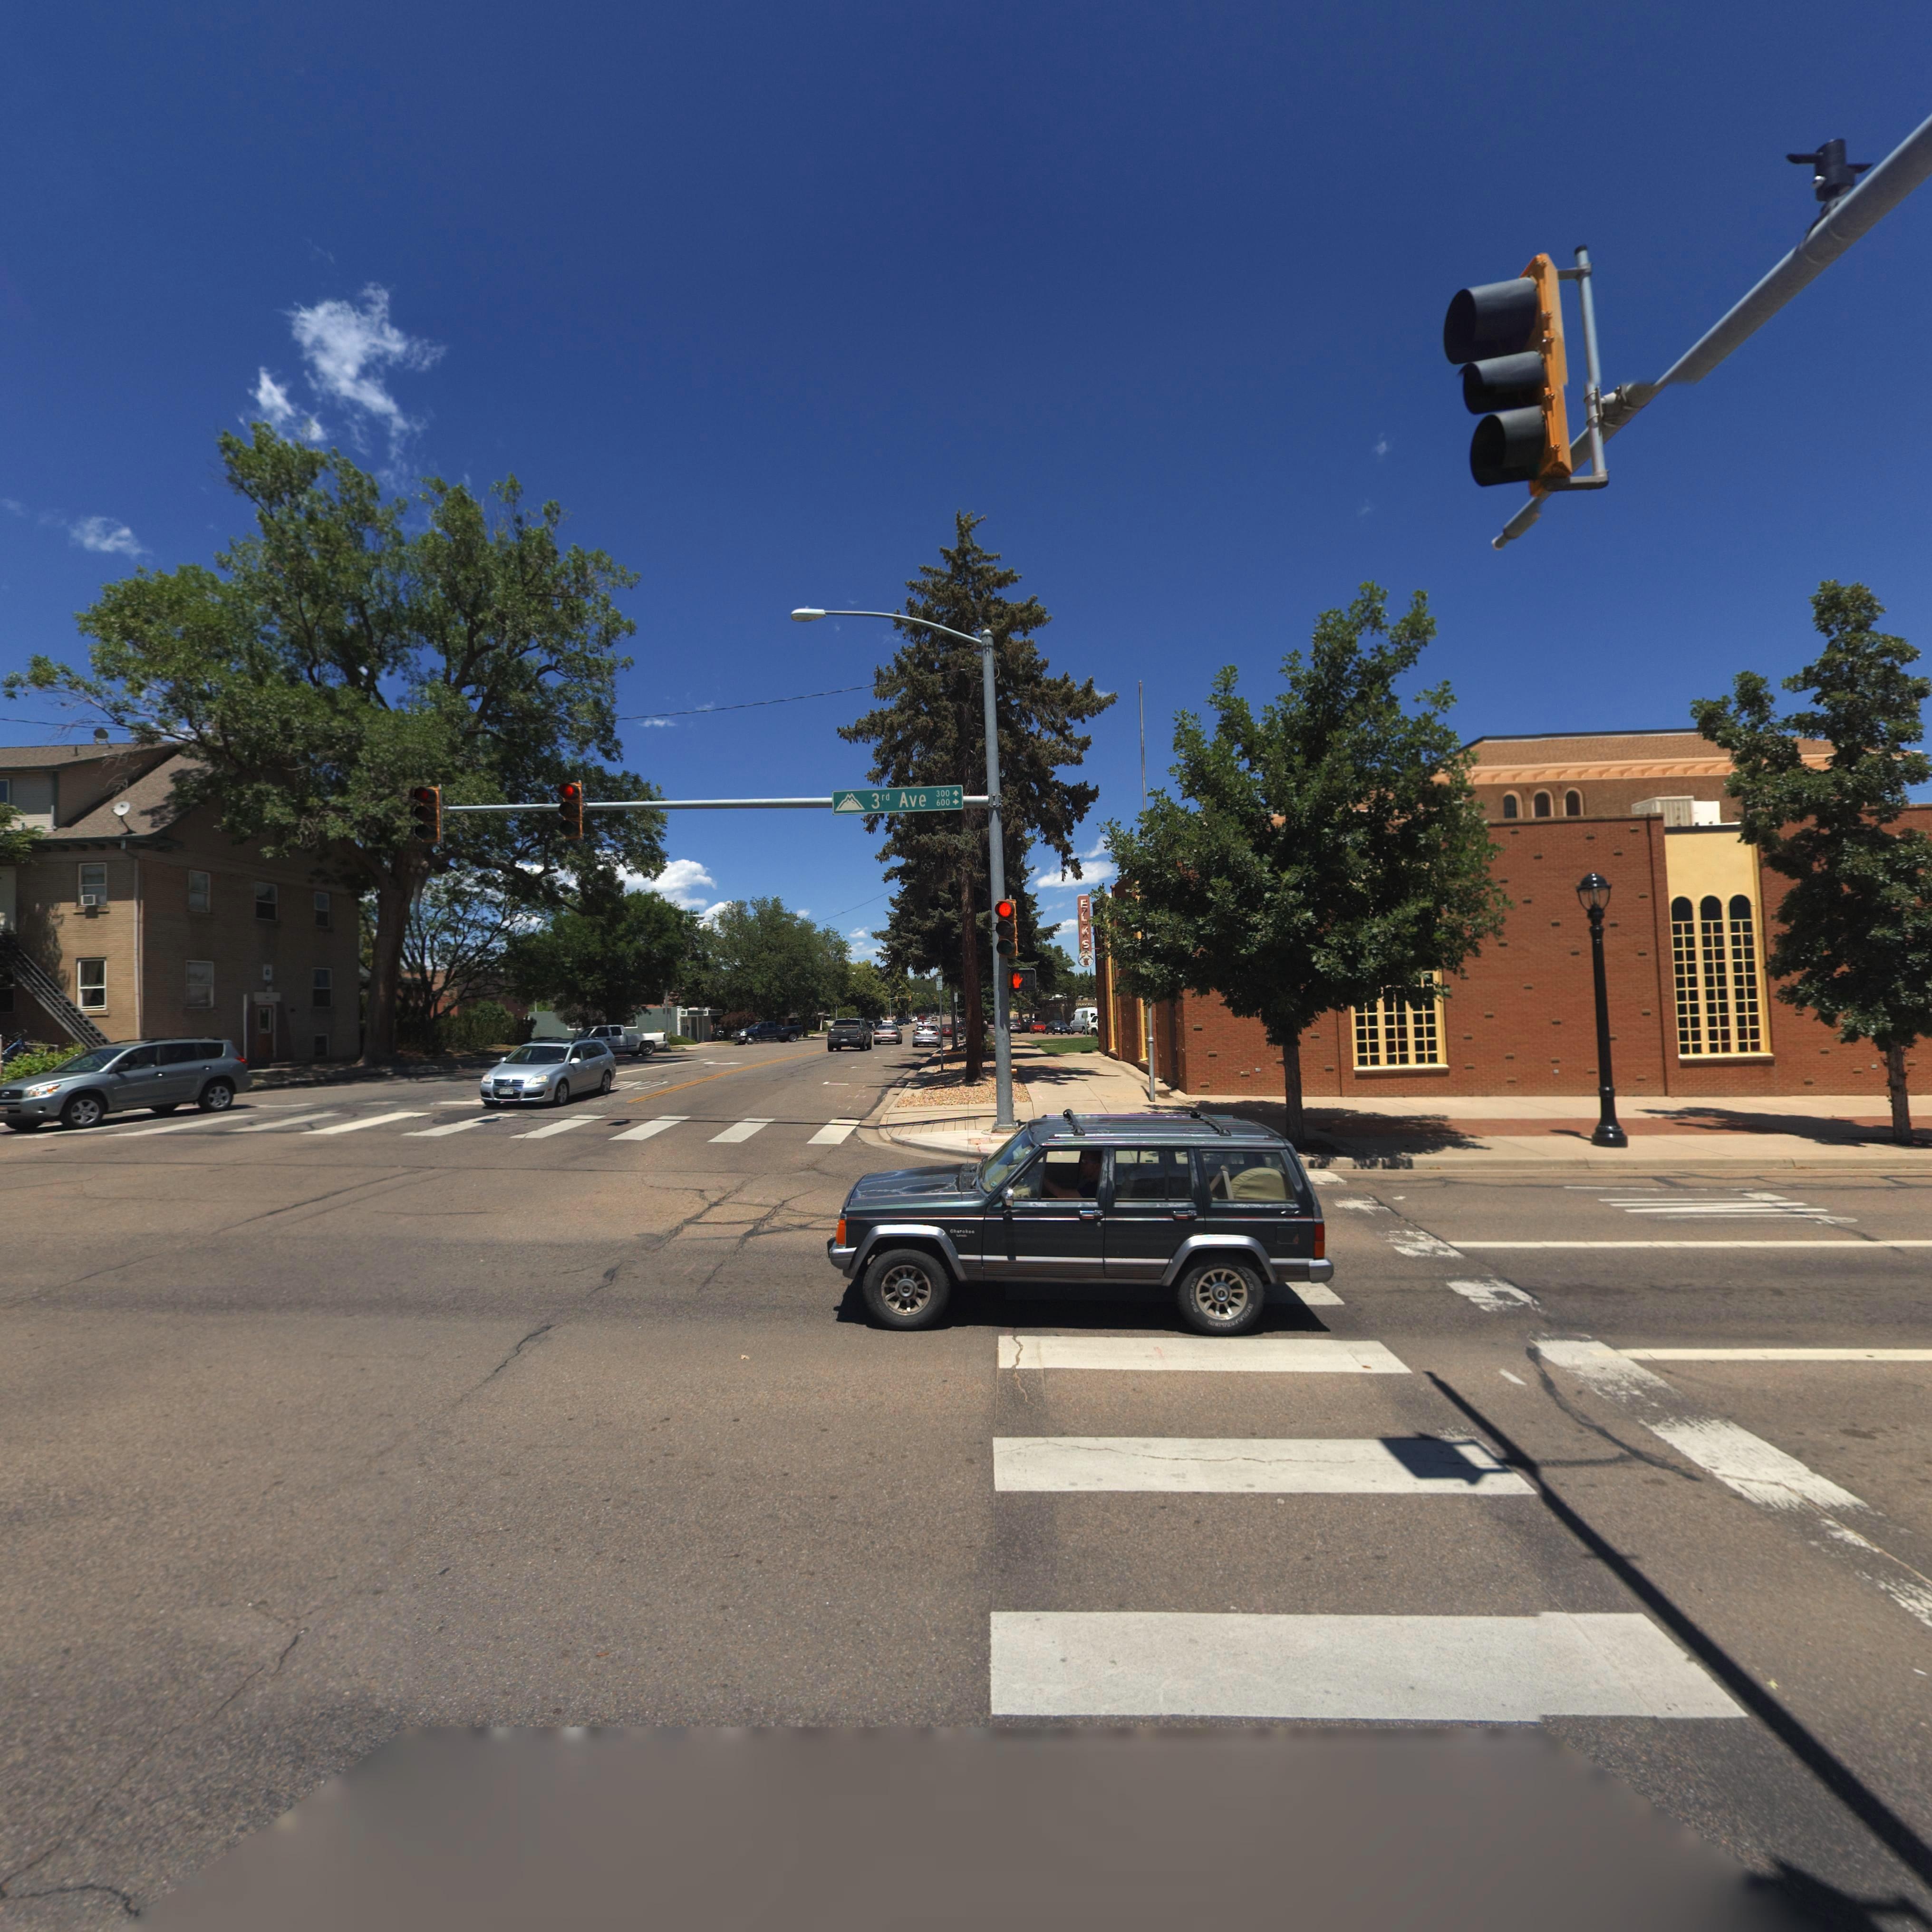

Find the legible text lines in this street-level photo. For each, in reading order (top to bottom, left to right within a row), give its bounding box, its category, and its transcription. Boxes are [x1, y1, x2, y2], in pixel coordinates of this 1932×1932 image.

[871, 791, 926, 809] StreetName: 3rd Ave
[936, 790, 949, 797] StreetNumberRange: 300
[935, 798, 959, 806] StreetNumberRange: 600 ->
[1079, 899, 1090, 948] BusinessName: ELKS